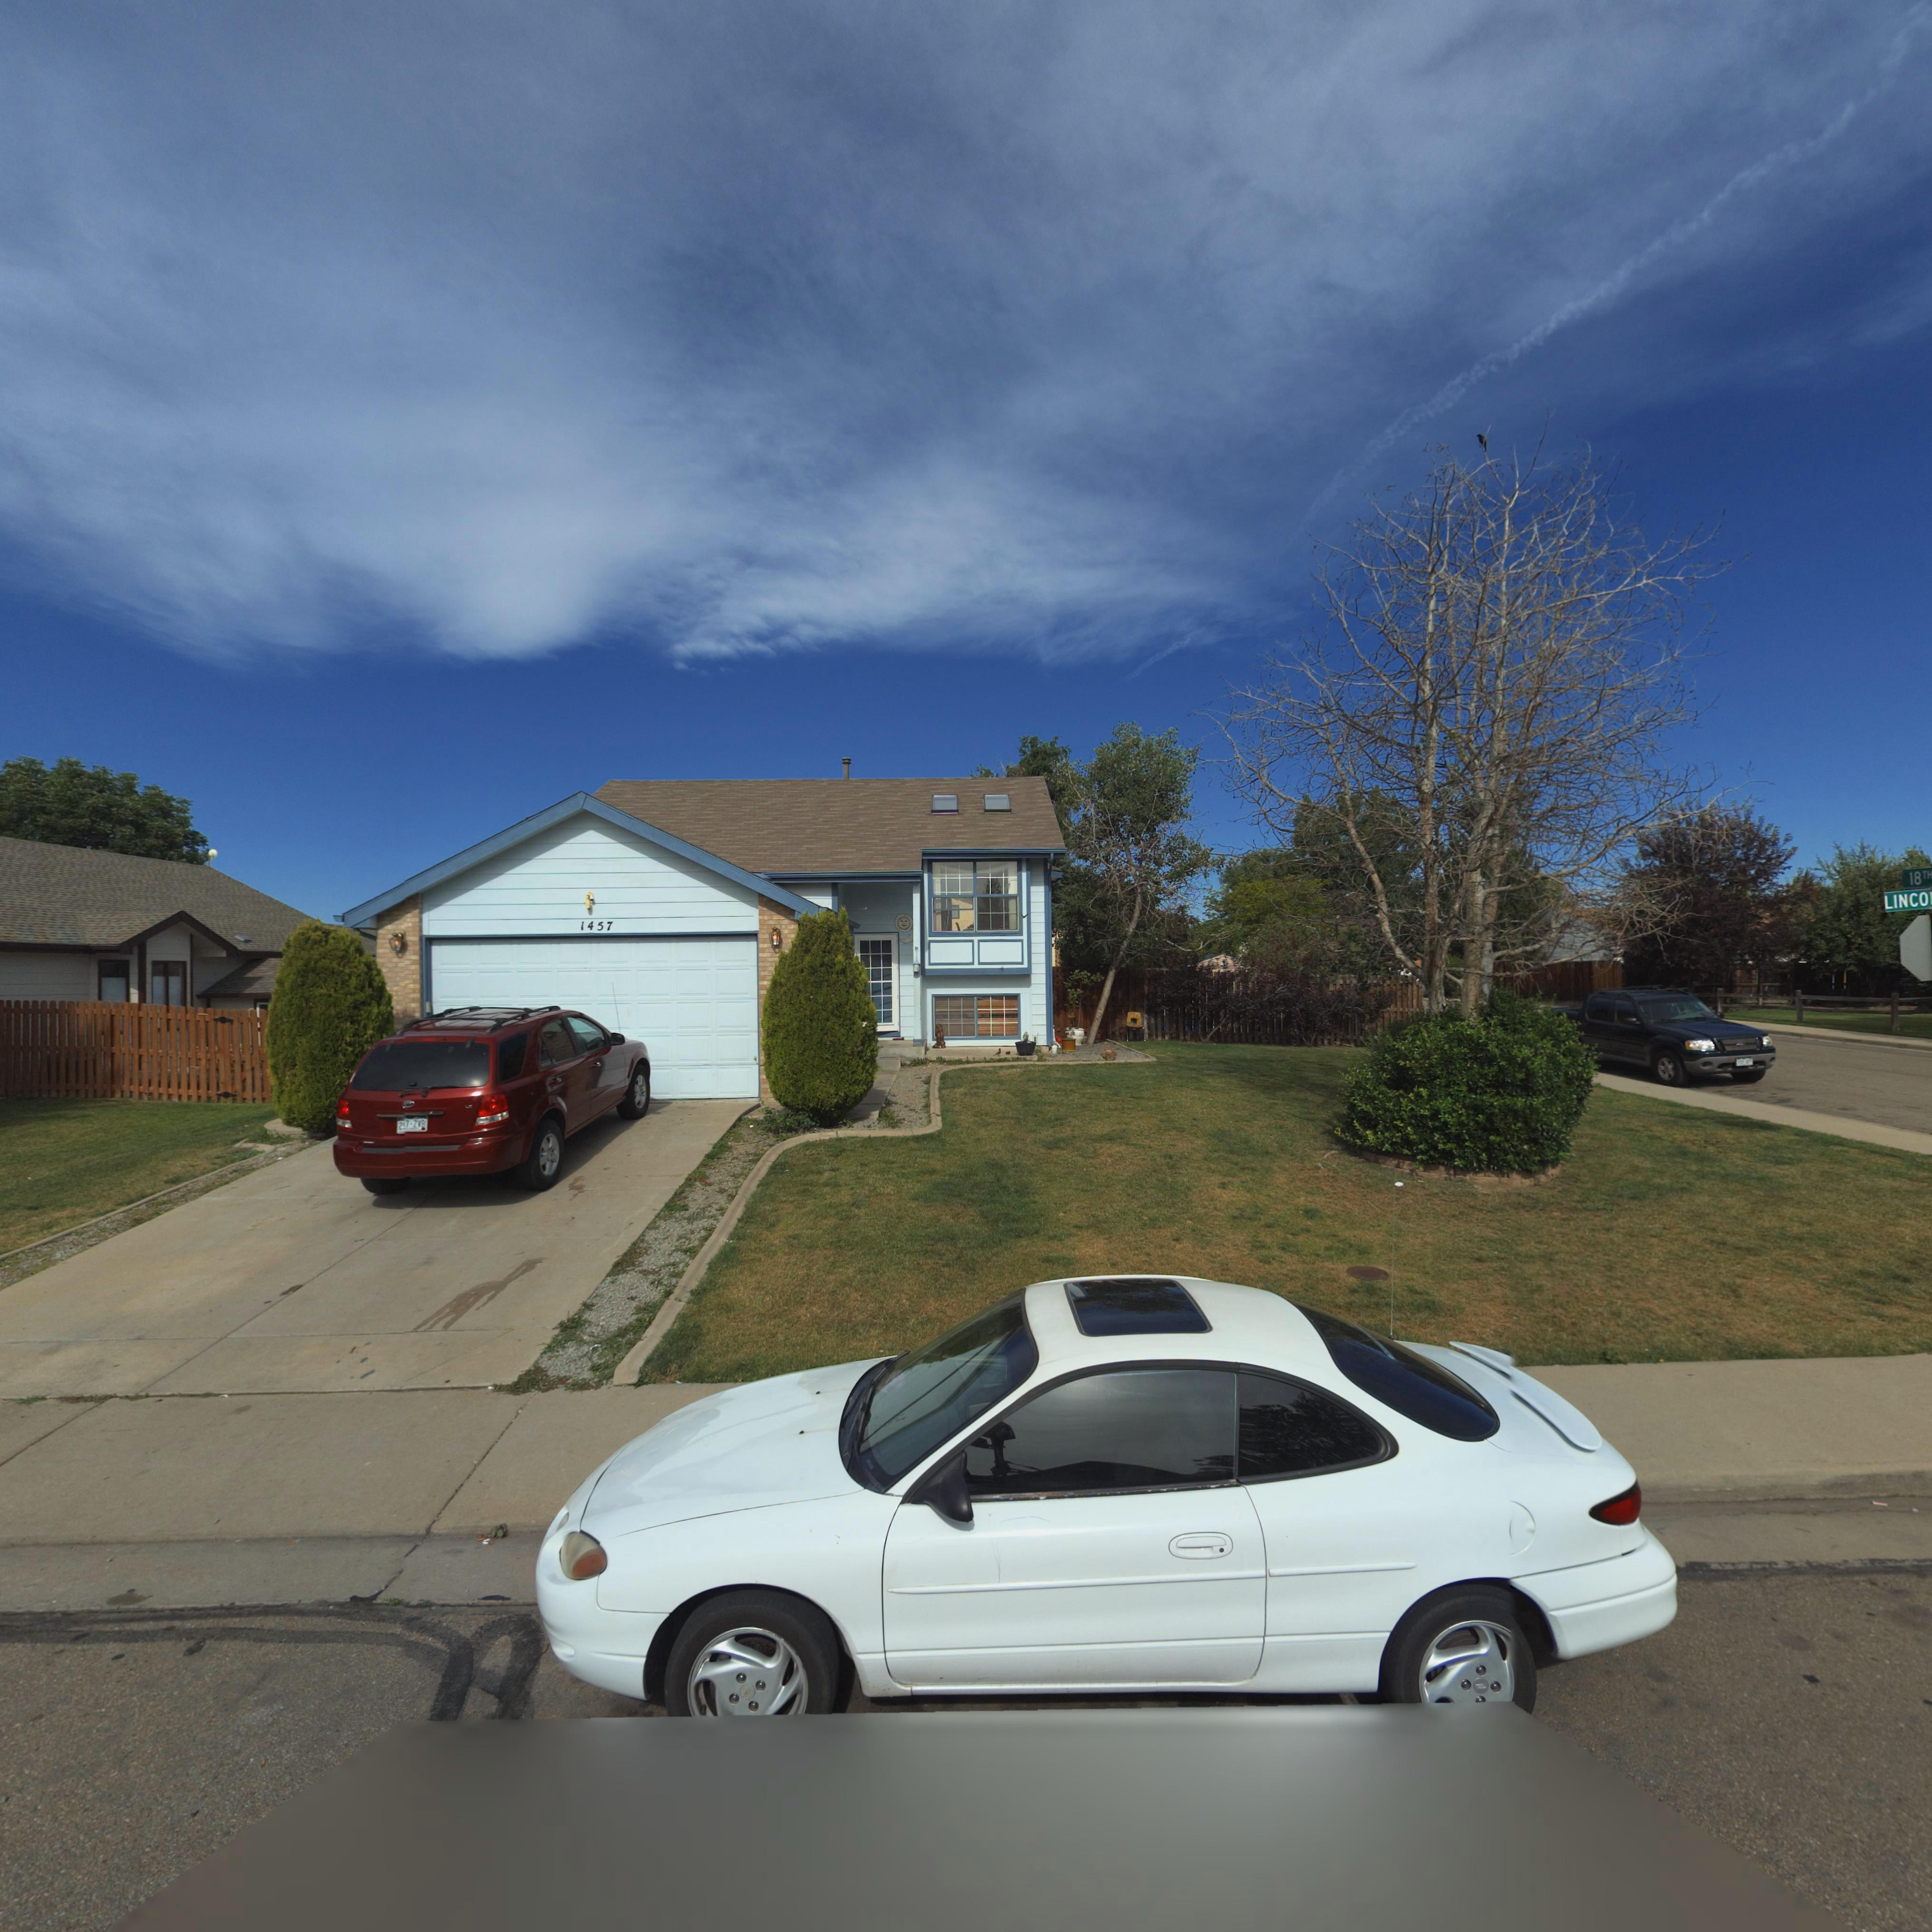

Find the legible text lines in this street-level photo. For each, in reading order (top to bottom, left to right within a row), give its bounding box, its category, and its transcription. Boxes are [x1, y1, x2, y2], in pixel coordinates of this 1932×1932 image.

[1909, 870, 1927, 886] StreetName: 18T
[1884, 892, 1929, 909] StreetName: LINCO
[580, 920, 613, 931] StreetNumber: 1457